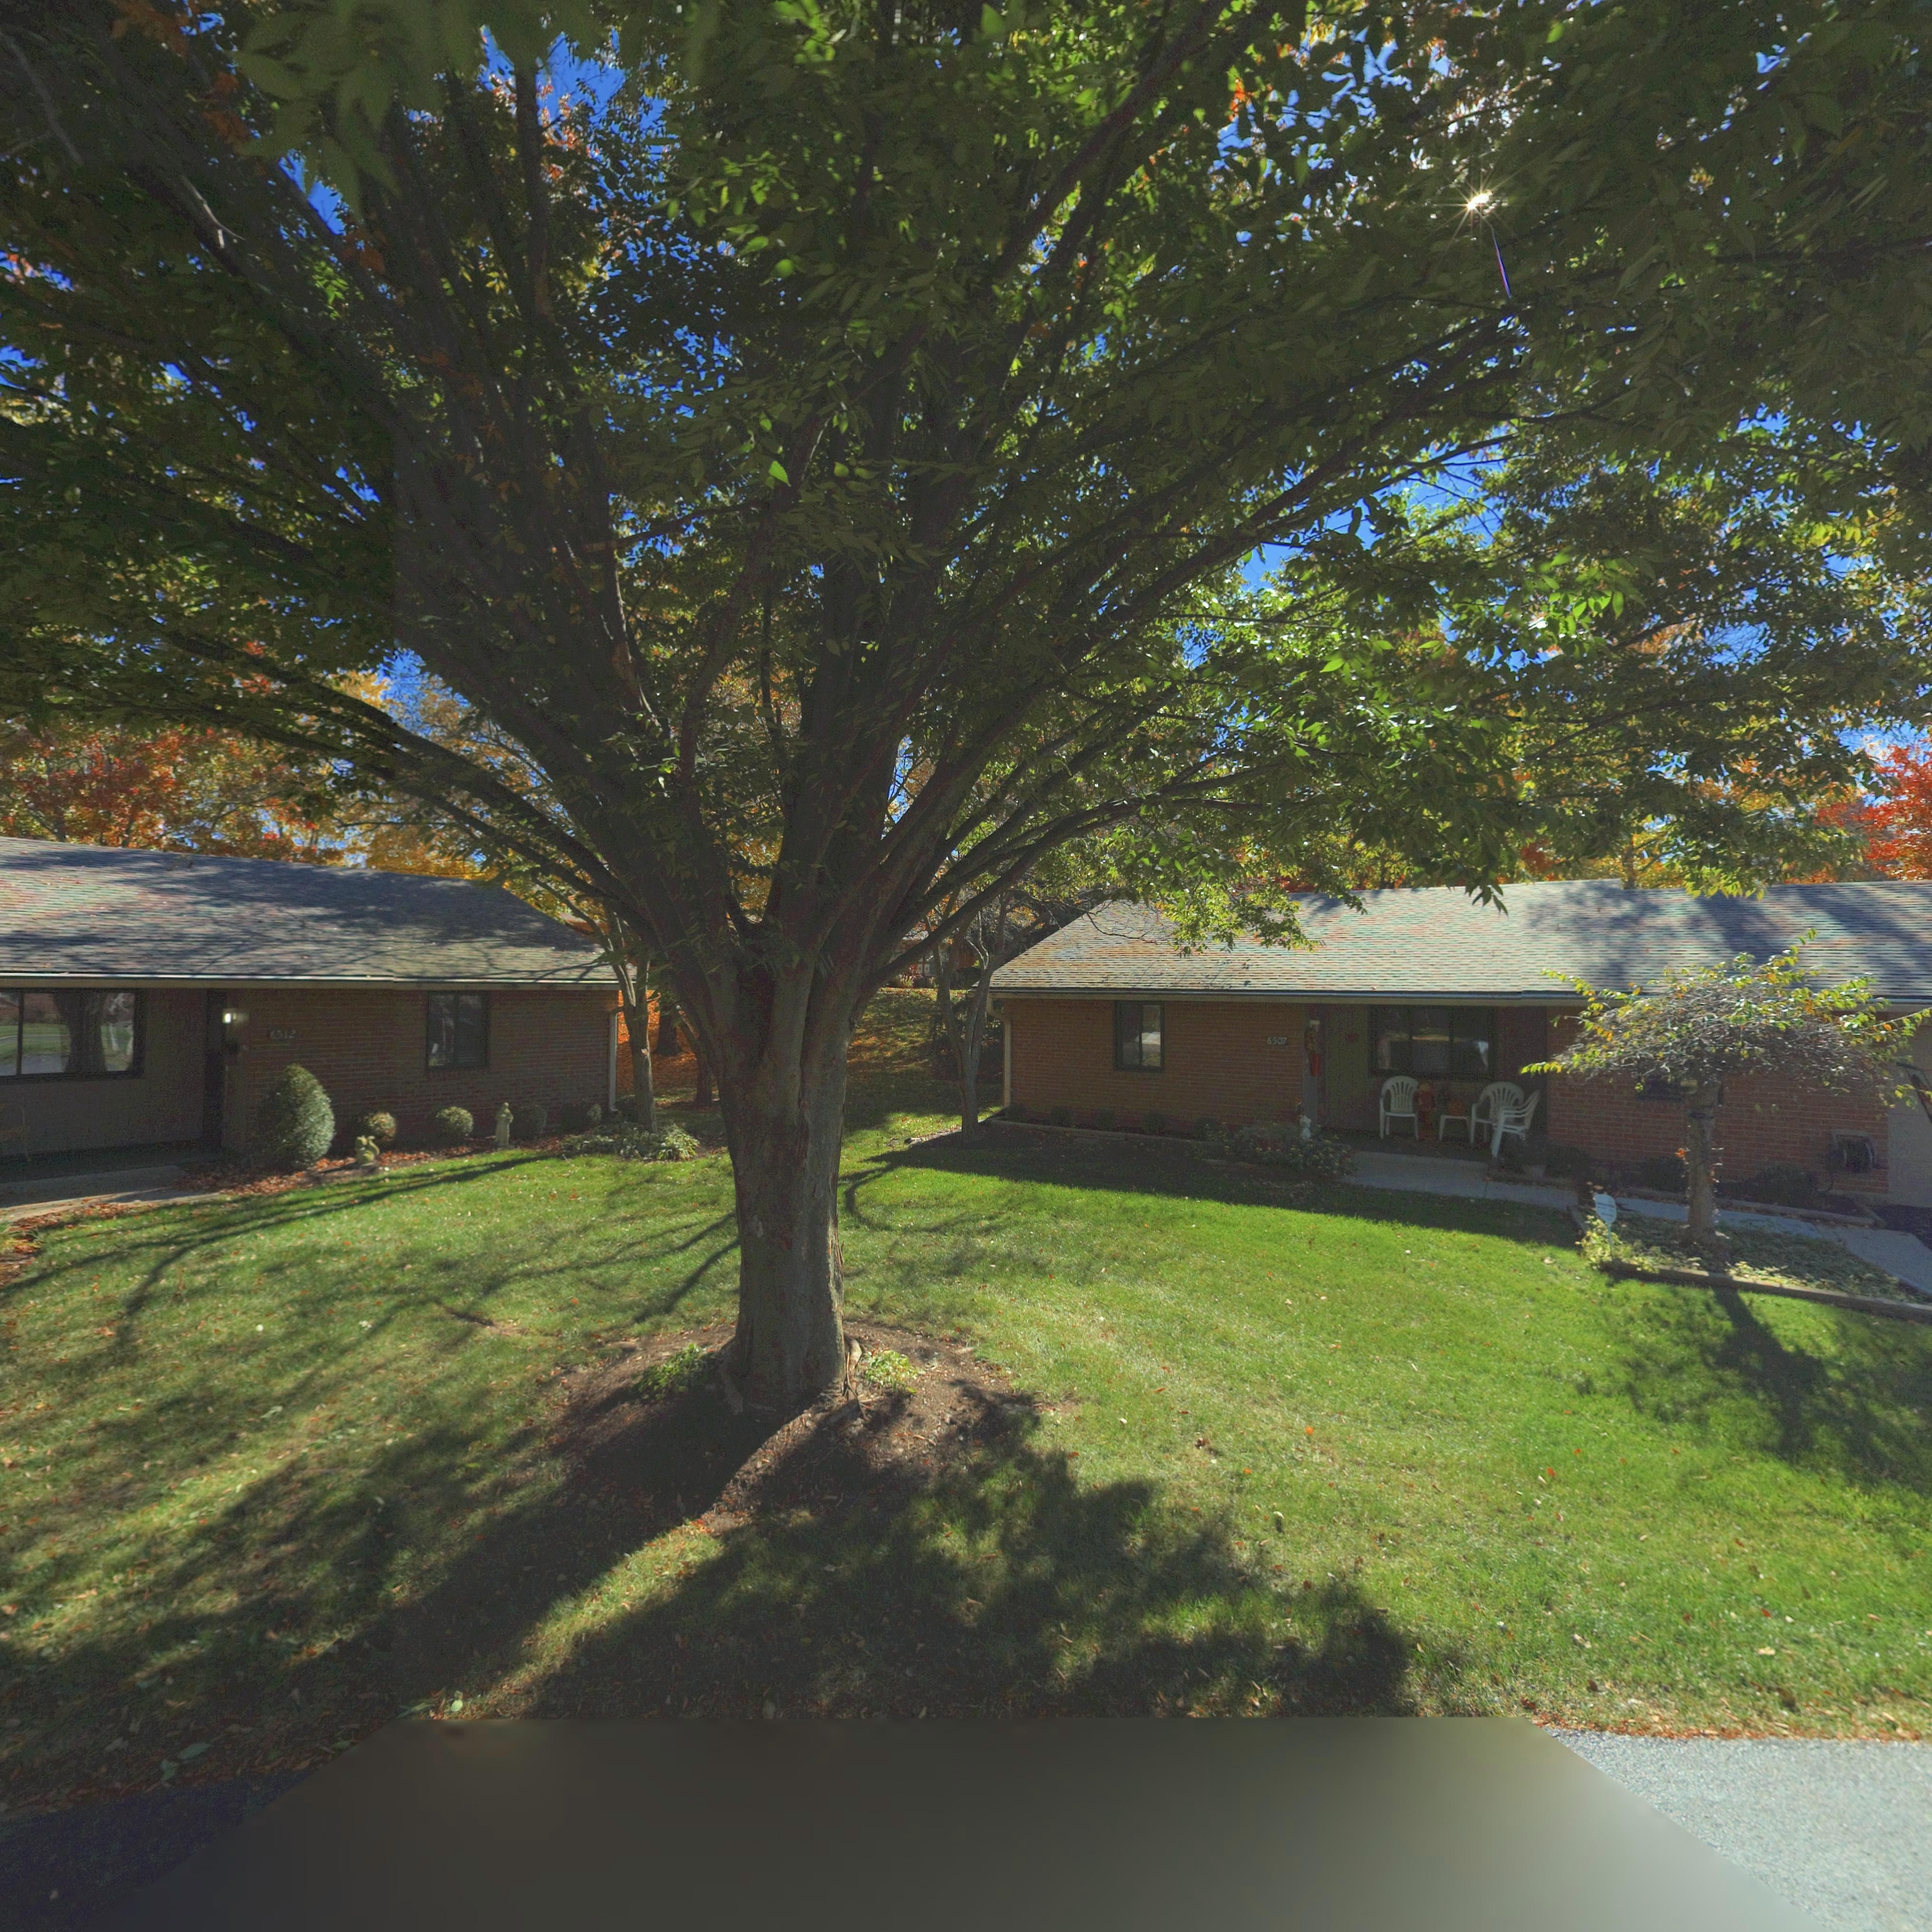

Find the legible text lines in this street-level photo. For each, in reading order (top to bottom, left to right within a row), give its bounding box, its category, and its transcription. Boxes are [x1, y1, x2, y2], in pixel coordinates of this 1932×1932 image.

[268, 1028, 298, 1041] StreetNumber: *512
[1265, 1035, 1289, 1046] StreetNumber: 6507